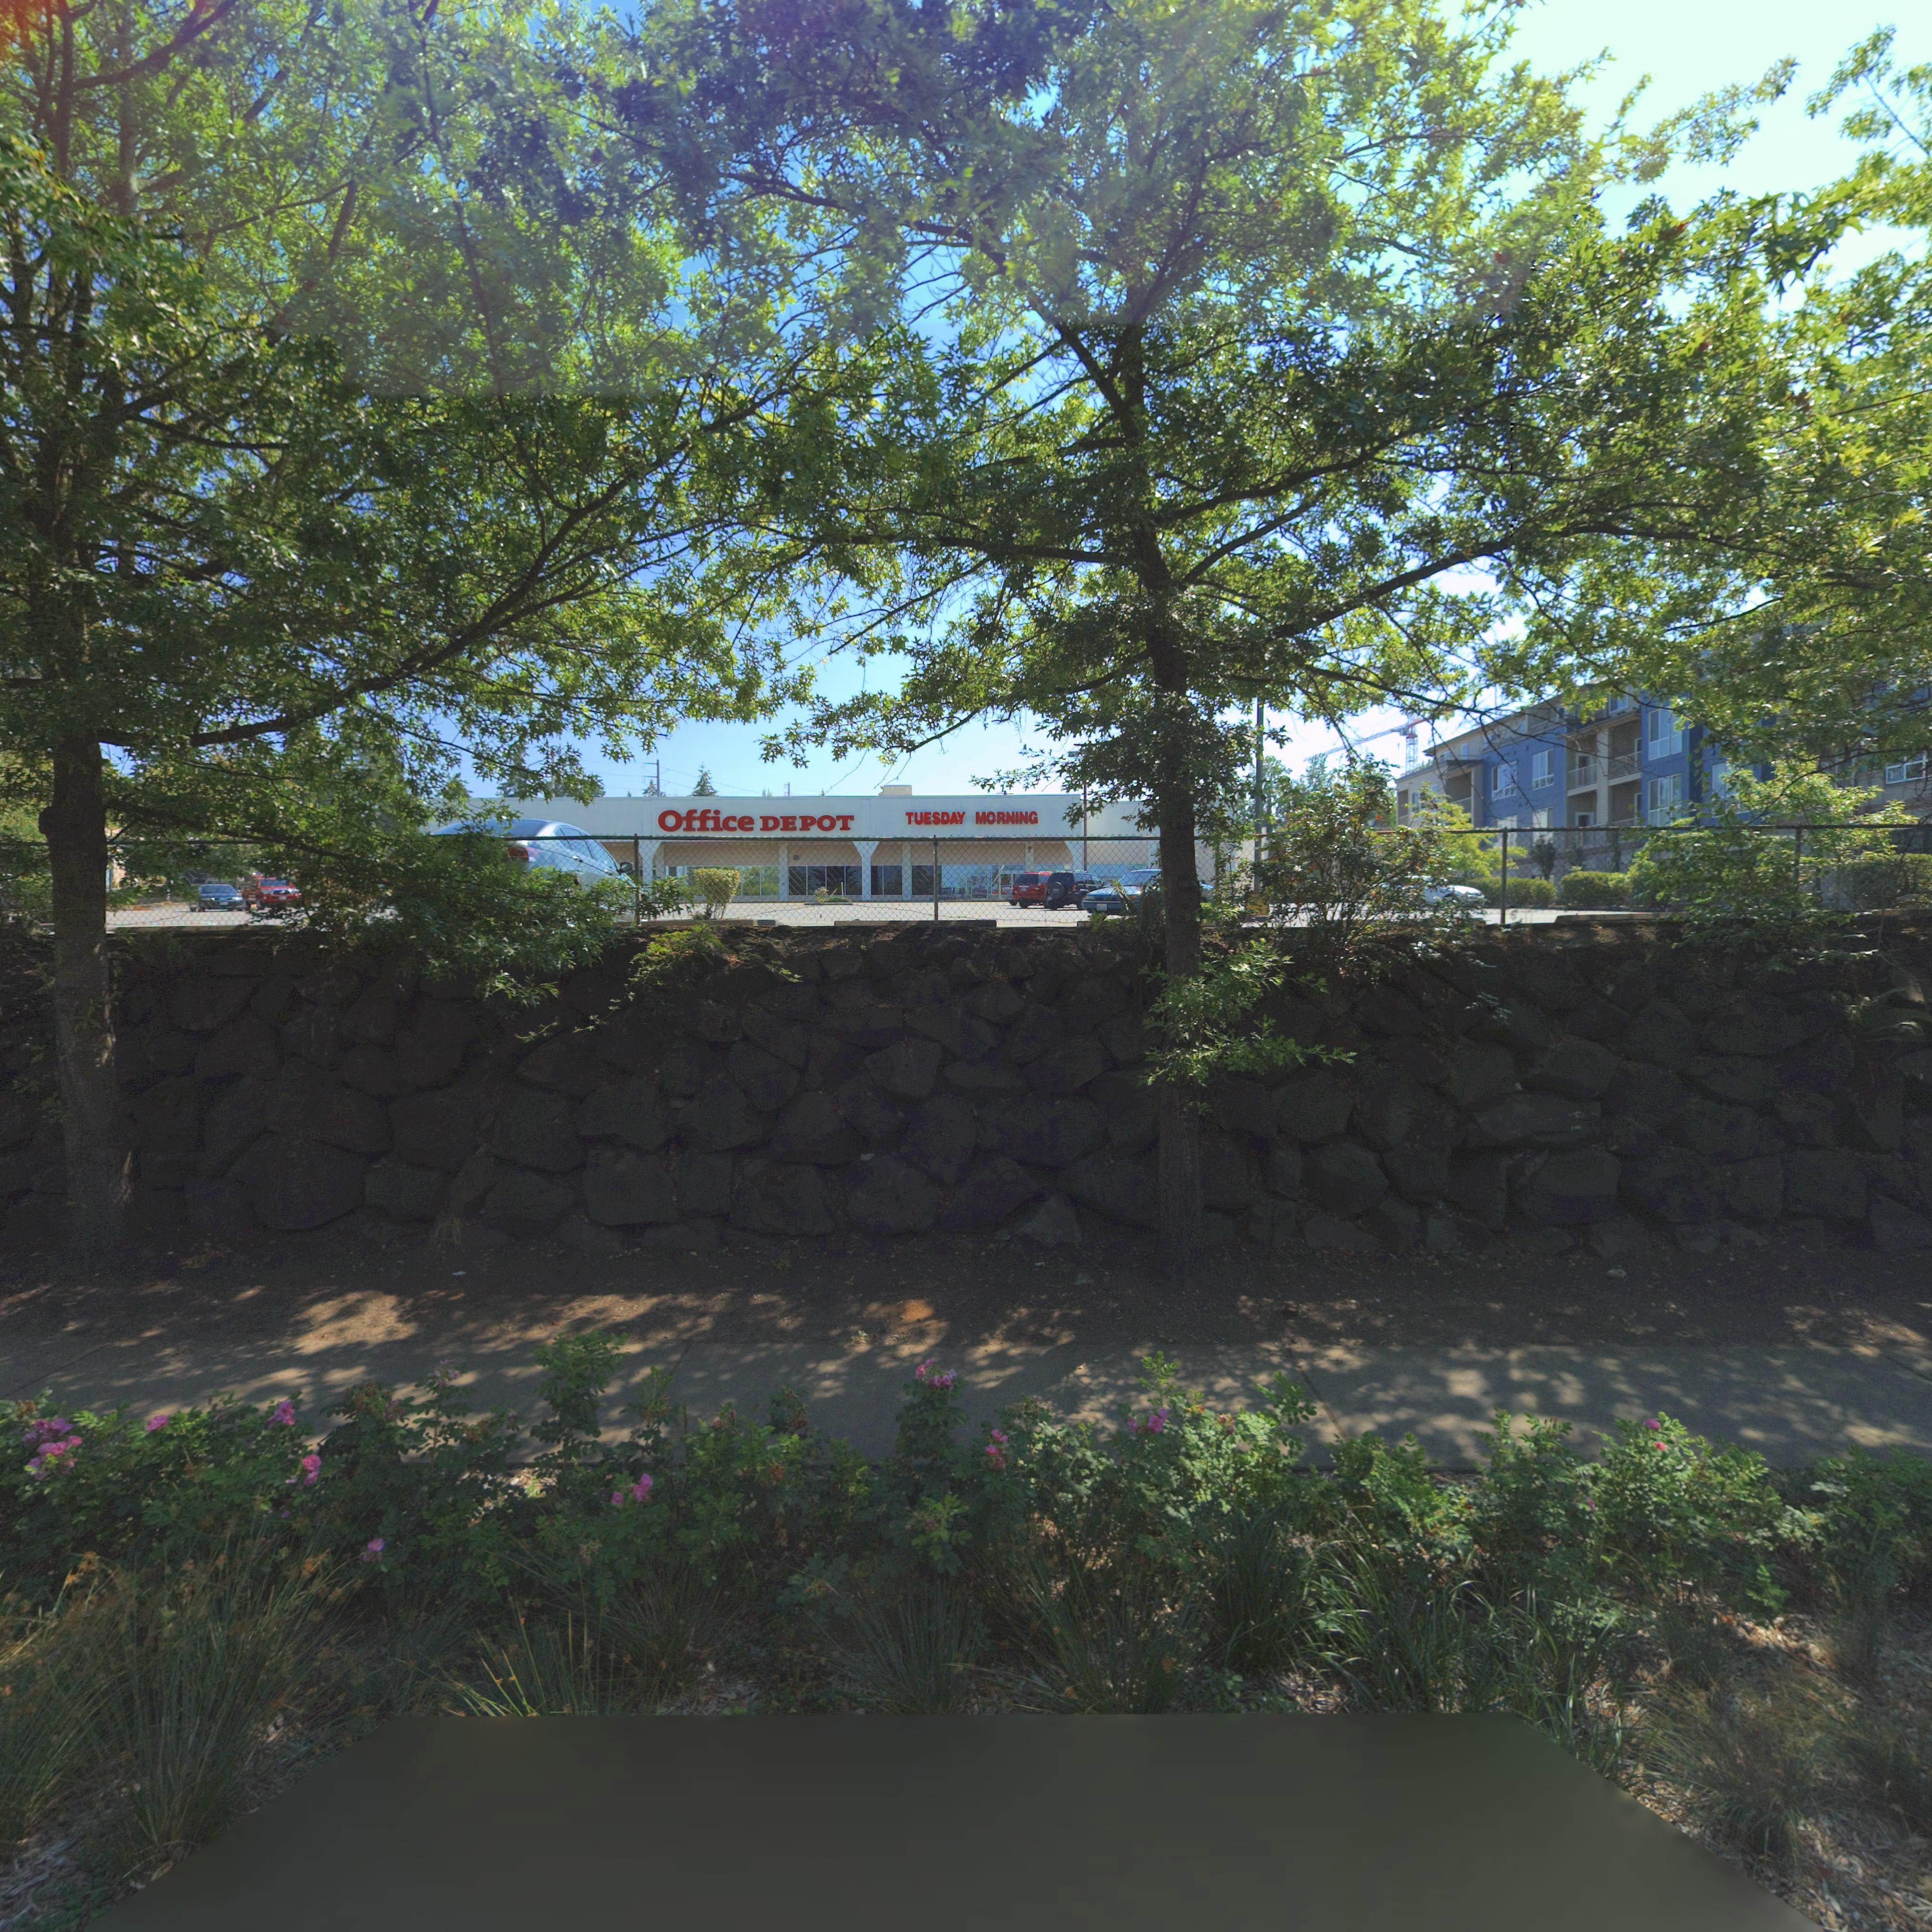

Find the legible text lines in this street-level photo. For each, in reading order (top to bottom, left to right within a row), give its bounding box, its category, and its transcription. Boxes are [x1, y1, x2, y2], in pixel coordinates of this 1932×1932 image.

[658, 810, 853, 831] BusinessName: Office DEPOT